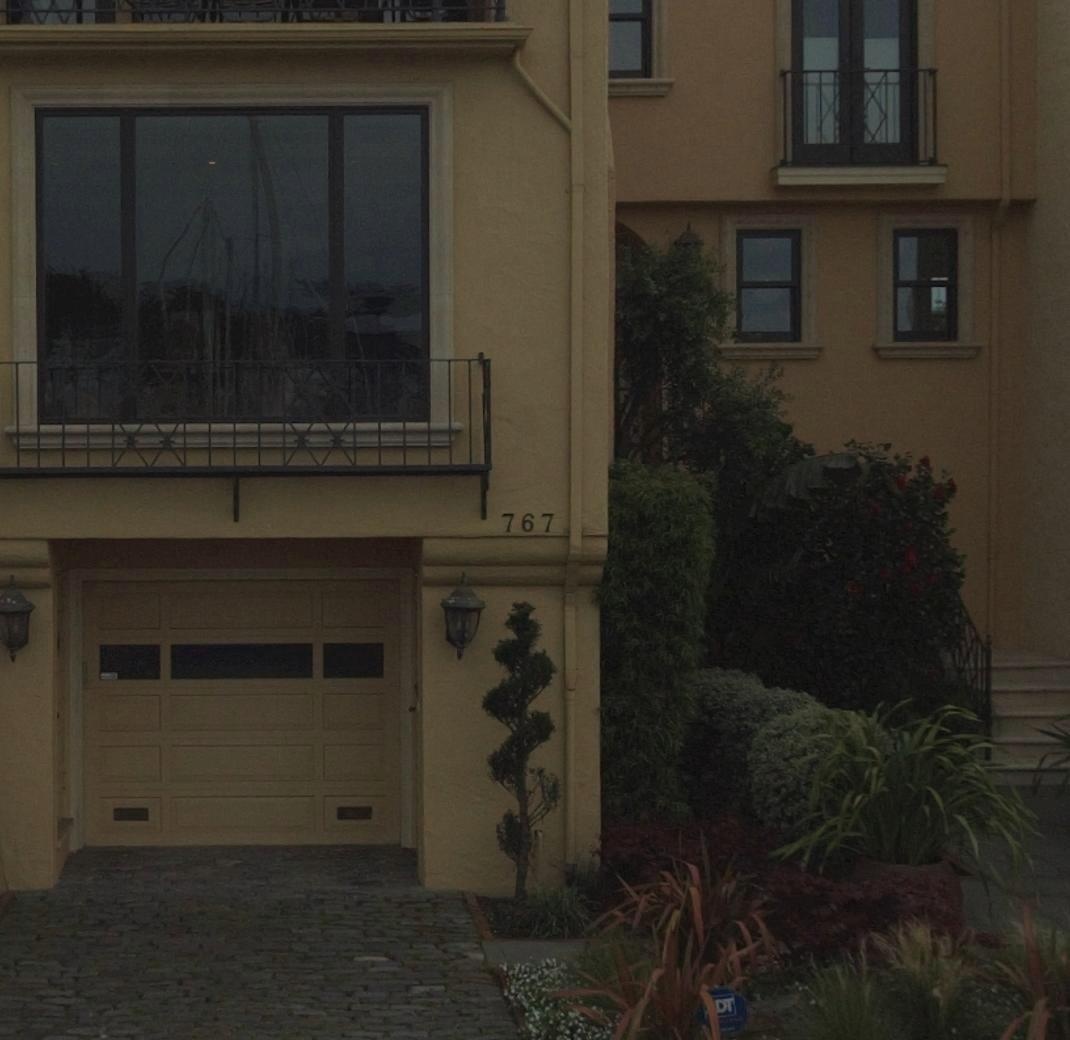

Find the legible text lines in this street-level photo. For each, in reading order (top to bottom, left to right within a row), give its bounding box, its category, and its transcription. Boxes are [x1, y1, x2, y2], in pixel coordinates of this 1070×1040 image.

[499, 510, 556, 535] StreetNumber: 767
[711, 992, 739, 1019] BusinessName: DT